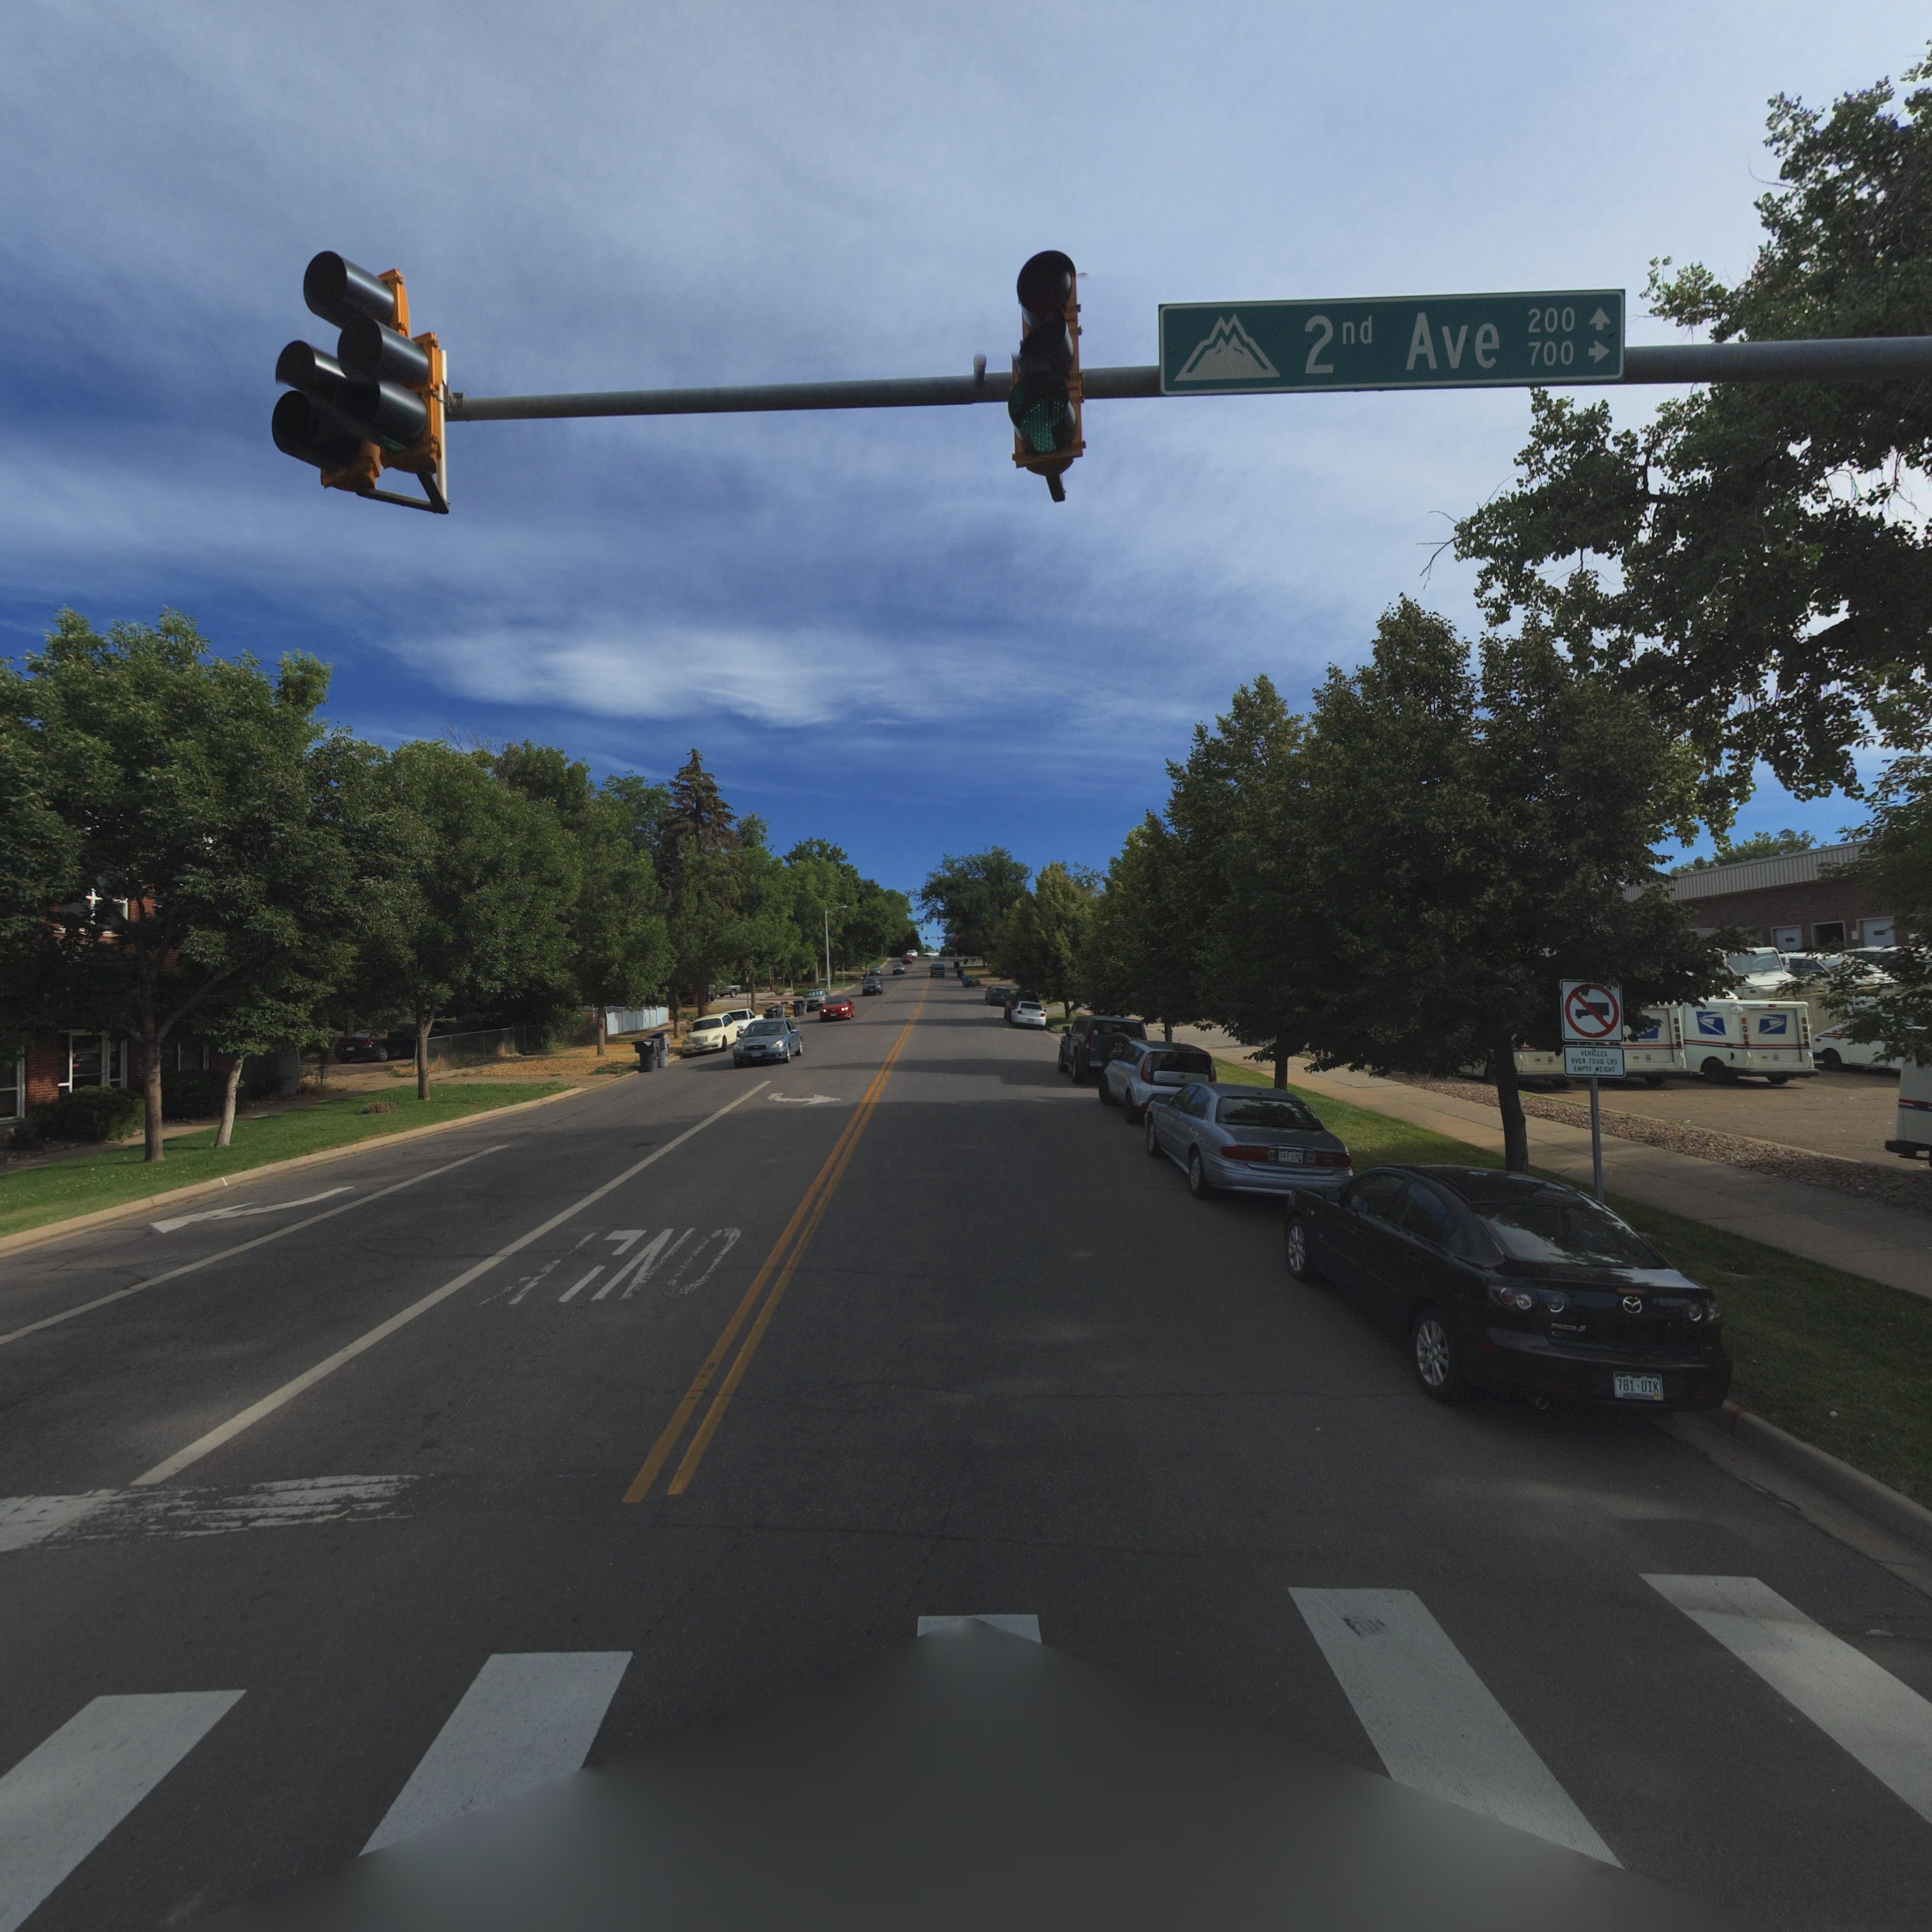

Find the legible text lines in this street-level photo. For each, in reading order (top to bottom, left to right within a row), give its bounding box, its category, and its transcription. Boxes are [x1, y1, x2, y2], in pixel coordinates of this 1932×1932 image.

[1526, 304, 1577, 334] StreetNumberRange: 200
[1300, 309, 1502, 376] StreetName: 2nd Ave
[1526, 337, 1612, 367] StreetNumberRange: 700->